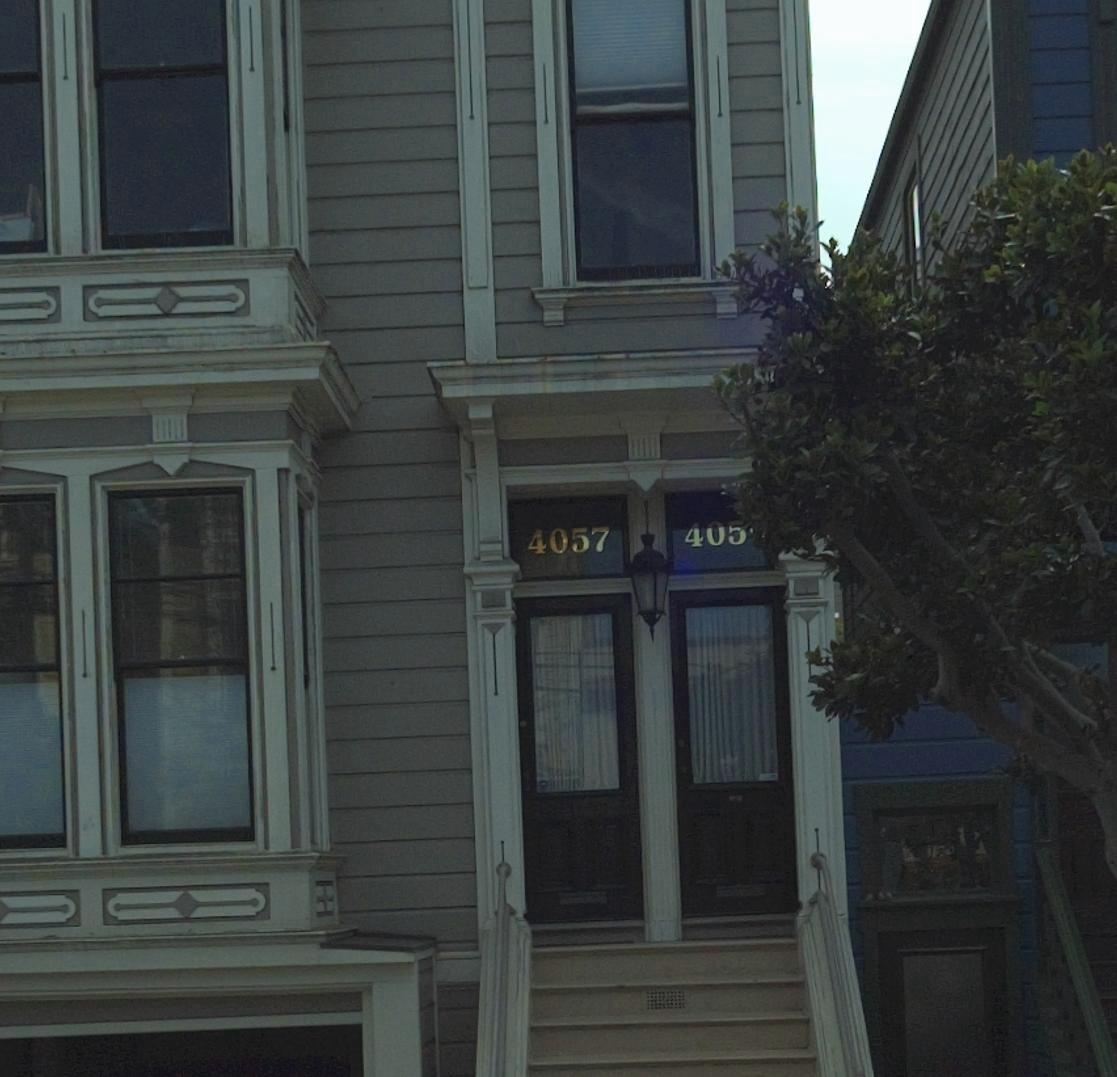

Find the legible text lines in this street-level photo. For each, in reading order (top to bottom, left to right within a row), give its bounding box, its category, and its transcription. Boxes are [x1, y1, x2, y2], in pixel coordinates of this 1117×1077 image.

[527, 525, 613, 556] StreetNumber: 4057
[683, 518, 763, 549] StreetNumber: 405*